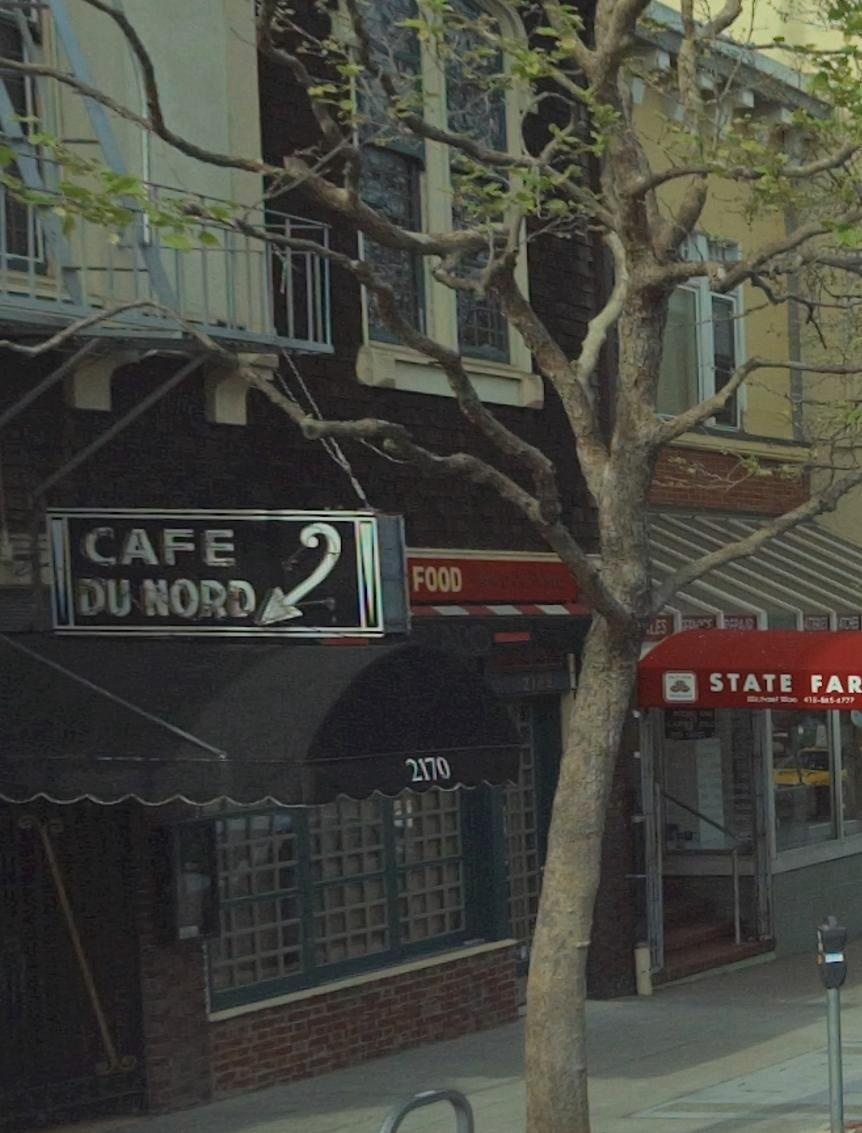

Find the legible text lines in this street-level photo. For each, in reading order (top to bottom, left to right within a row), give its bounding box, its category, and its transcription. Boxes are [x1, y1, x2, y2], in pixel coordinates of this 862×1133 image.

[80, 525, 238, 572] BusinessName: CAFE
[409, 562, 467, 596] BusinessName: FOOD
[72, 575, 260, 621] BusinessName: DU NORD
[653, 616, 669, 637] None: ES
[518, 673, 534, 695] StreetNumber: 2
[707, 670, 862, 696] None: STATE FAR
[399, 753, 454, 787] StreetNumber: 2170